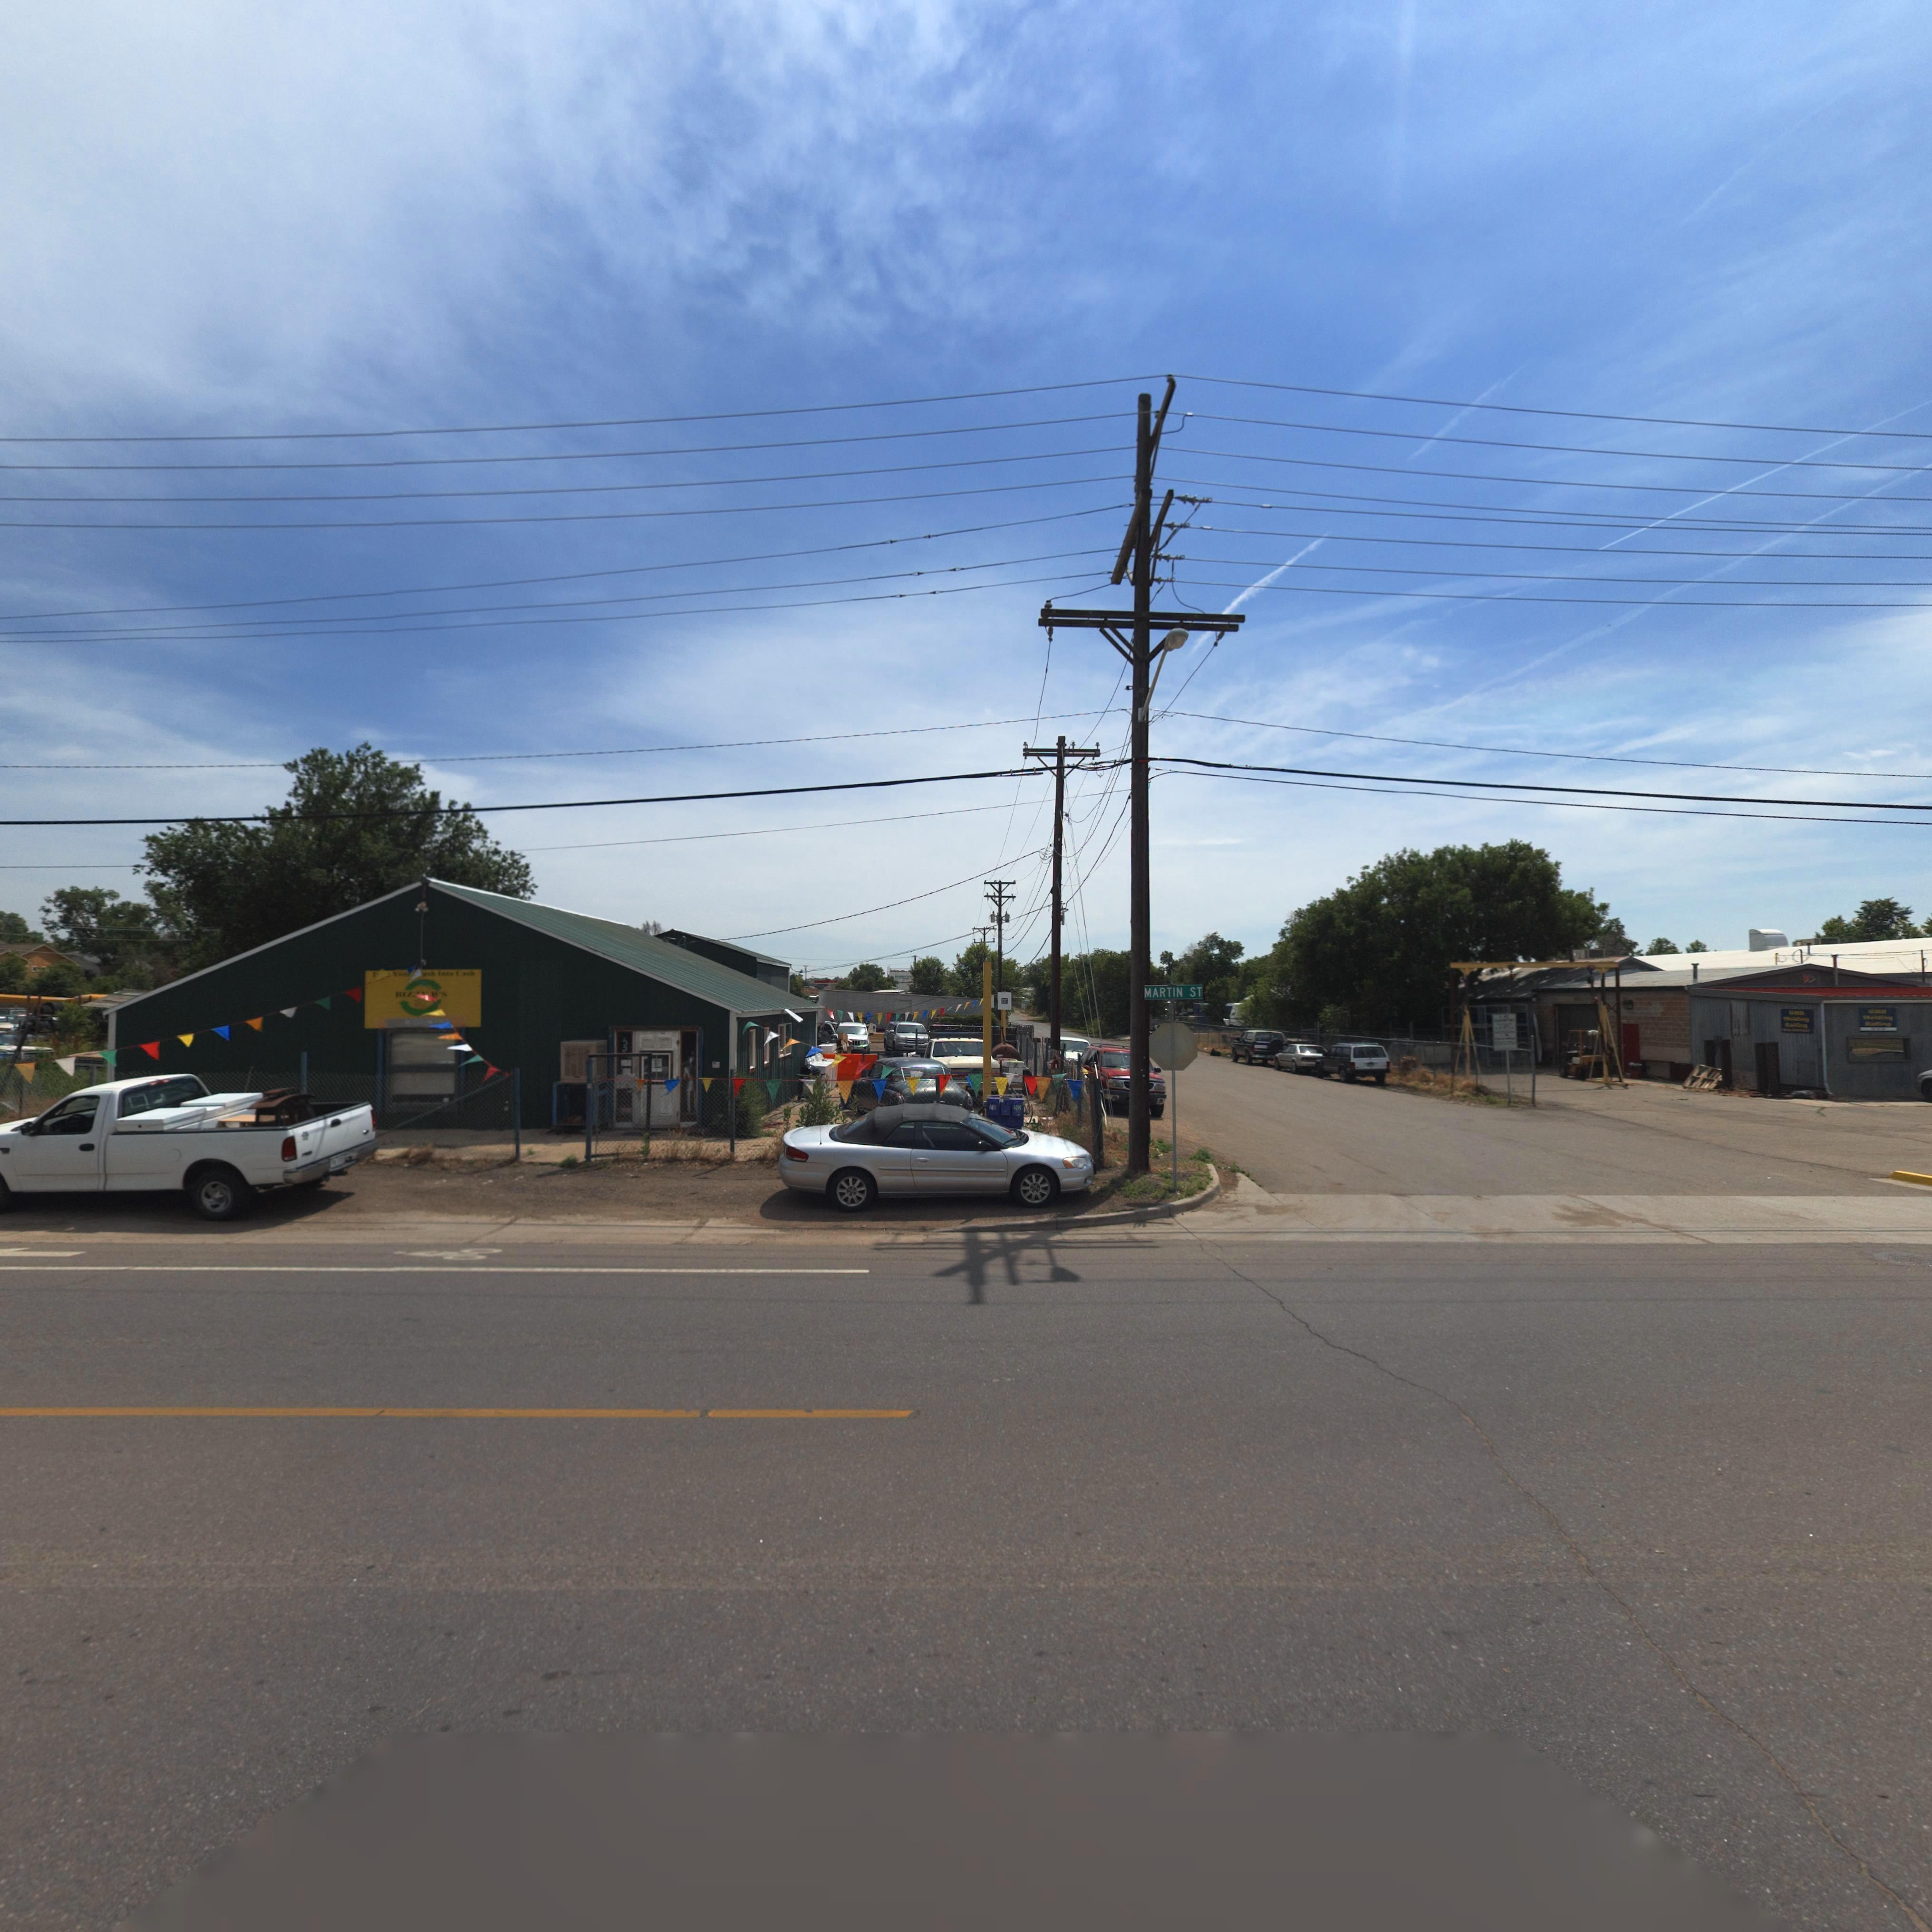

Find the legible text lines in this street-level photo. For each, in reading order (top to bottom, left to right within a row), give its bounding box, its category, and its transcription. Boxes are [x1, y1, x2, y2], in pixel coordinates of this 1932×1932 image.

[395, 990, 447, 998] BusinessName: BIZ** B*S
[1143, 986, 1202, 998] StreetName: MARTIN ST
[1787, 1010, 1804, 1015] BusinessName: **B
[1868, 1009, 1886, 1014] BusinessName: **B
[1783, 1015, 1809, 1022] BusinessName: W**d**g
[1862, 1014, 1893, 1021] BusinessName: W**d**g
[1784, 1022, 1807, 1029] BusinessName: Ra****g
[1864, 1021, 1891, 1027] BusinessName: Ra****g